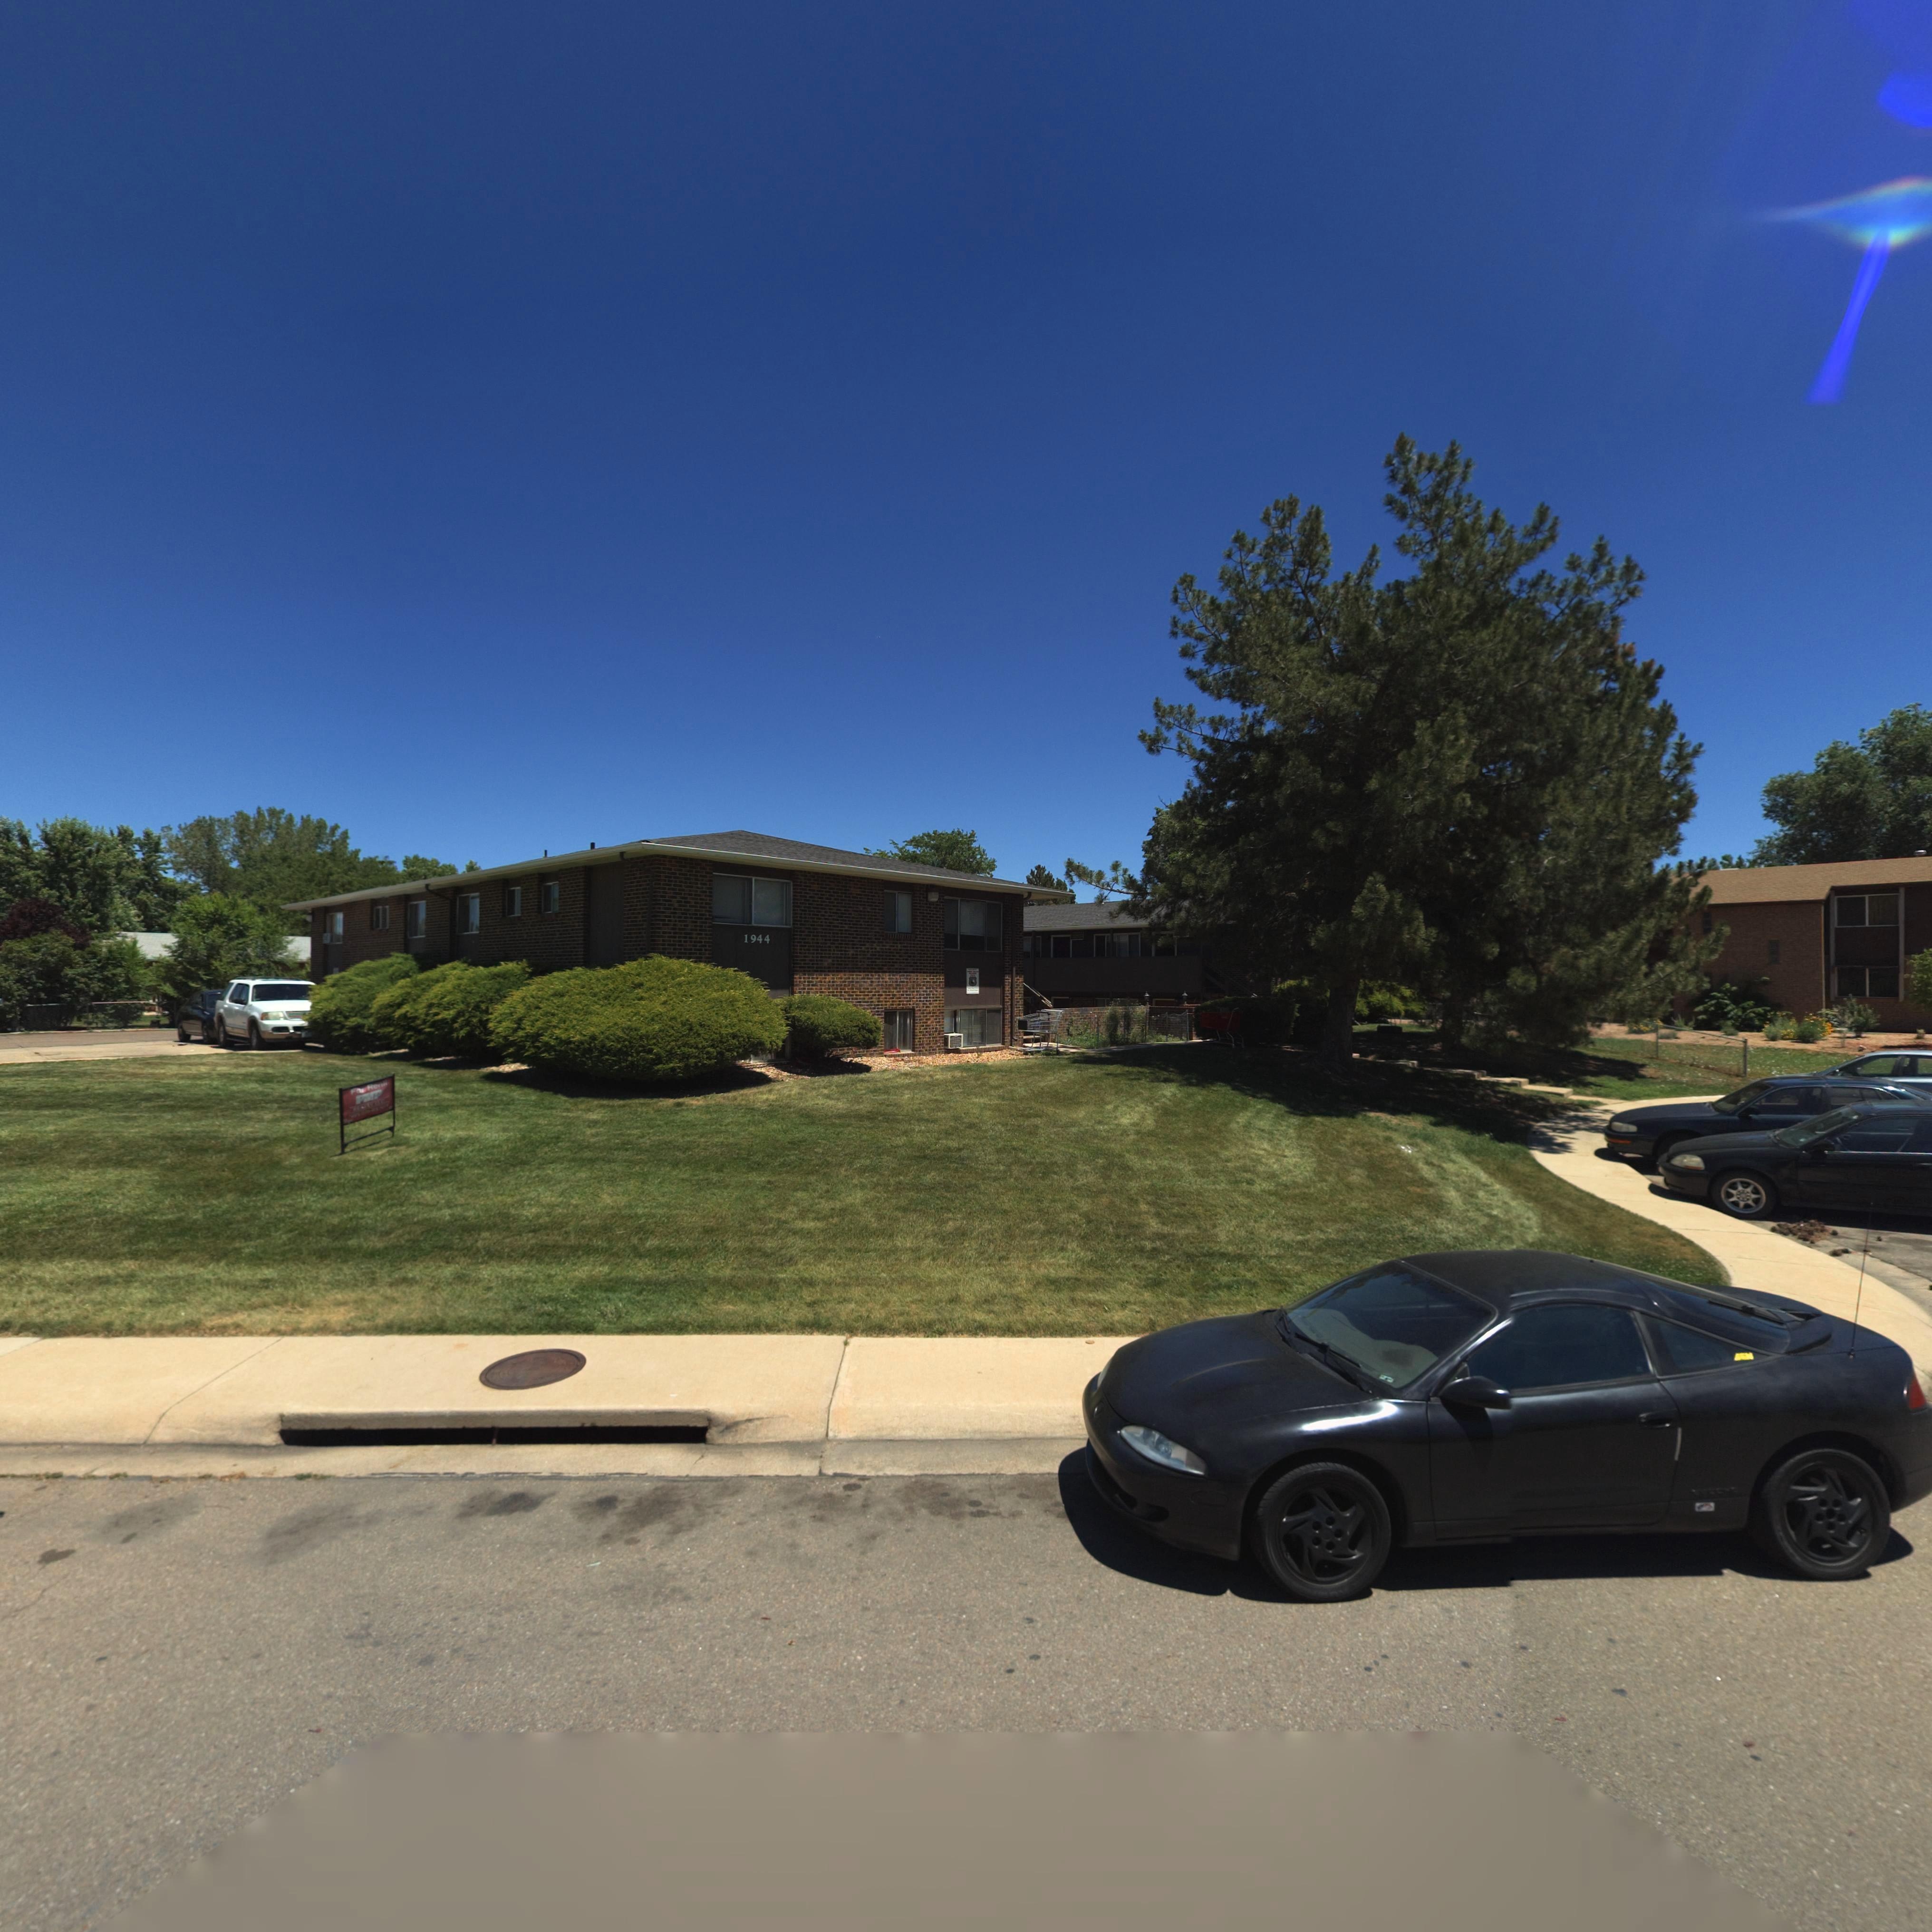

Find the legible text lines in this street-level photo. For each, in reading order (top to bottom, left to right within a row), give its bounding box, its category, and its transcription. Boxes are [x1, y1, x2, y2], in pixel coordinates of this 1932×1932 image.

[744, 934, 770, 944] StreetNumber: 1944